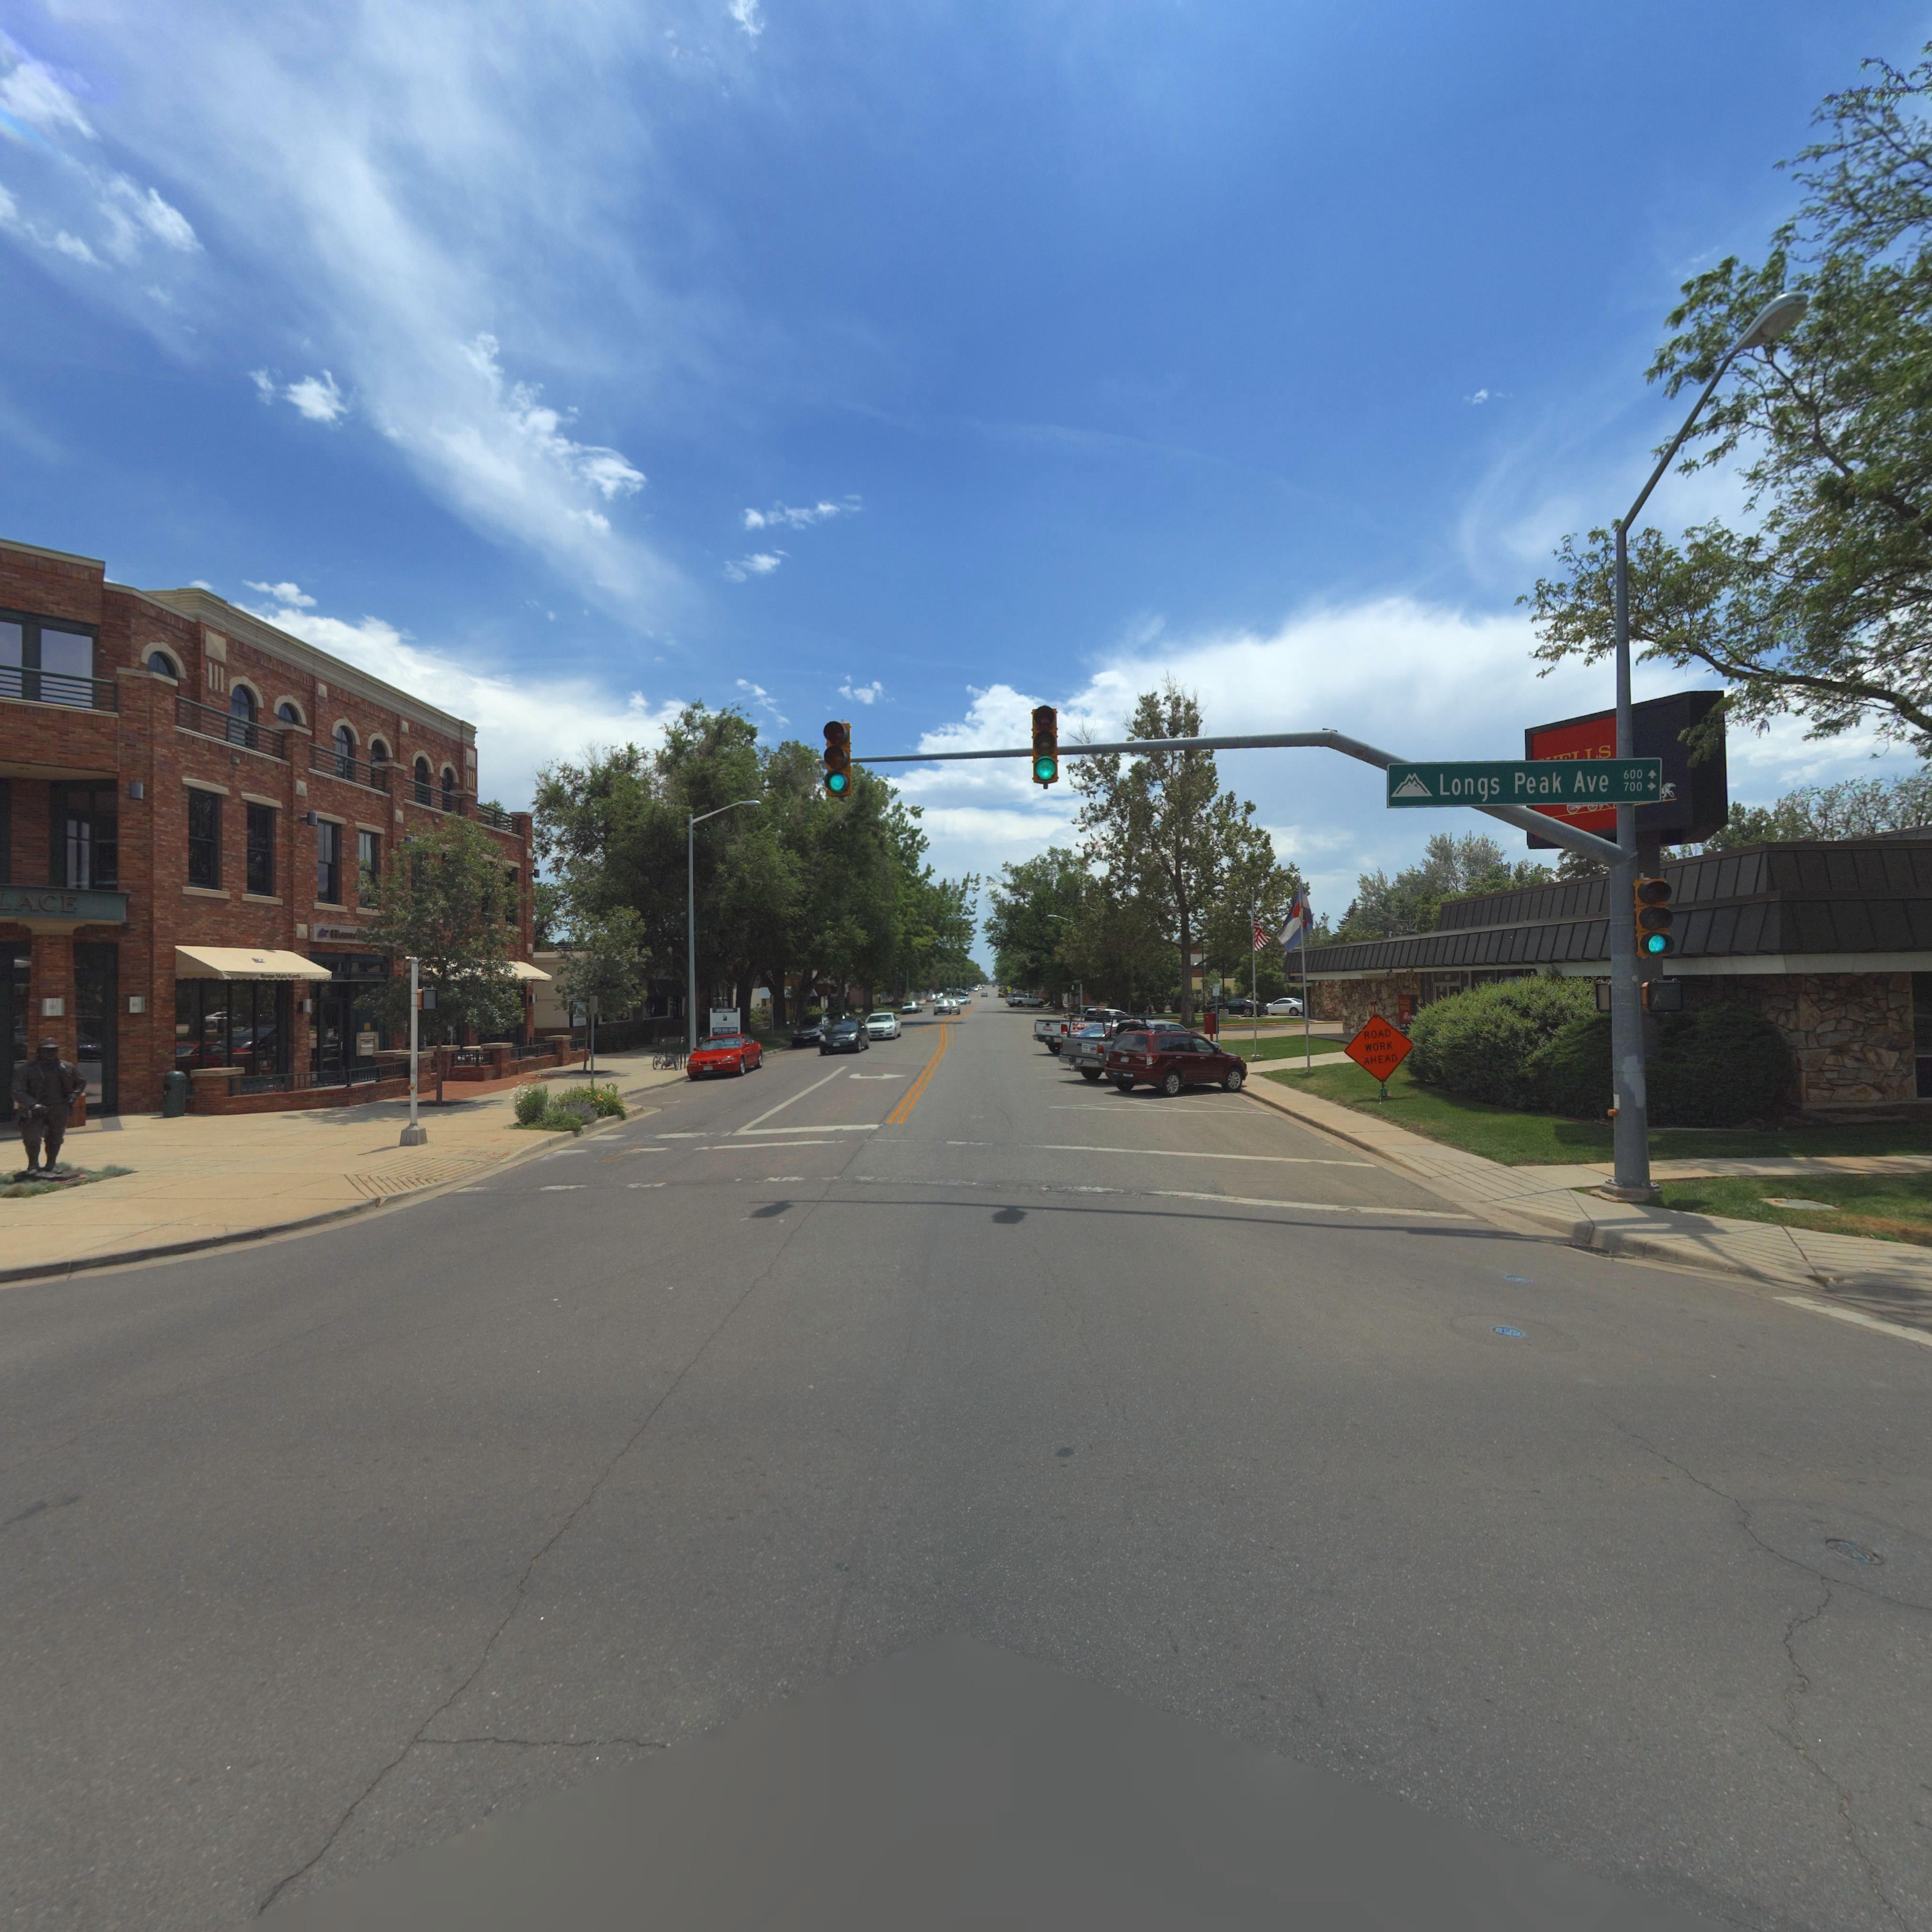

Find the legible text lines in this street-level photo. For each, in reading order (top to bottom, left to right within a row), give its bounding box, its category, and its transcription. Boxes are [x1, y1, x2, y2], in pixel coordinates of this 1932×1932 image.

[1582, 744, 1613, 763] BusinessName: LS
[1623, 769, 1643, 779] StreetNumberRange: 600
[1438, 769, 1609, 802] StreetName: Longs Peak Ave
[1623, 781, 1657, 792] StreetNumberRange: 700 ->
[13, 892, 78, 912] BusinessName: ACE
[331, 929, 359, 939] BusinessName: Home
[260, 973, 300, 978] BusinessName: Ho*e St*te B*nk
[1444, 974, 1451, 980] StreetNumber: *35
[1399, 999, 1409, 1005] BusinessName: ****S
[1400, 1005, 1410, 1010] BusinessName: ****O